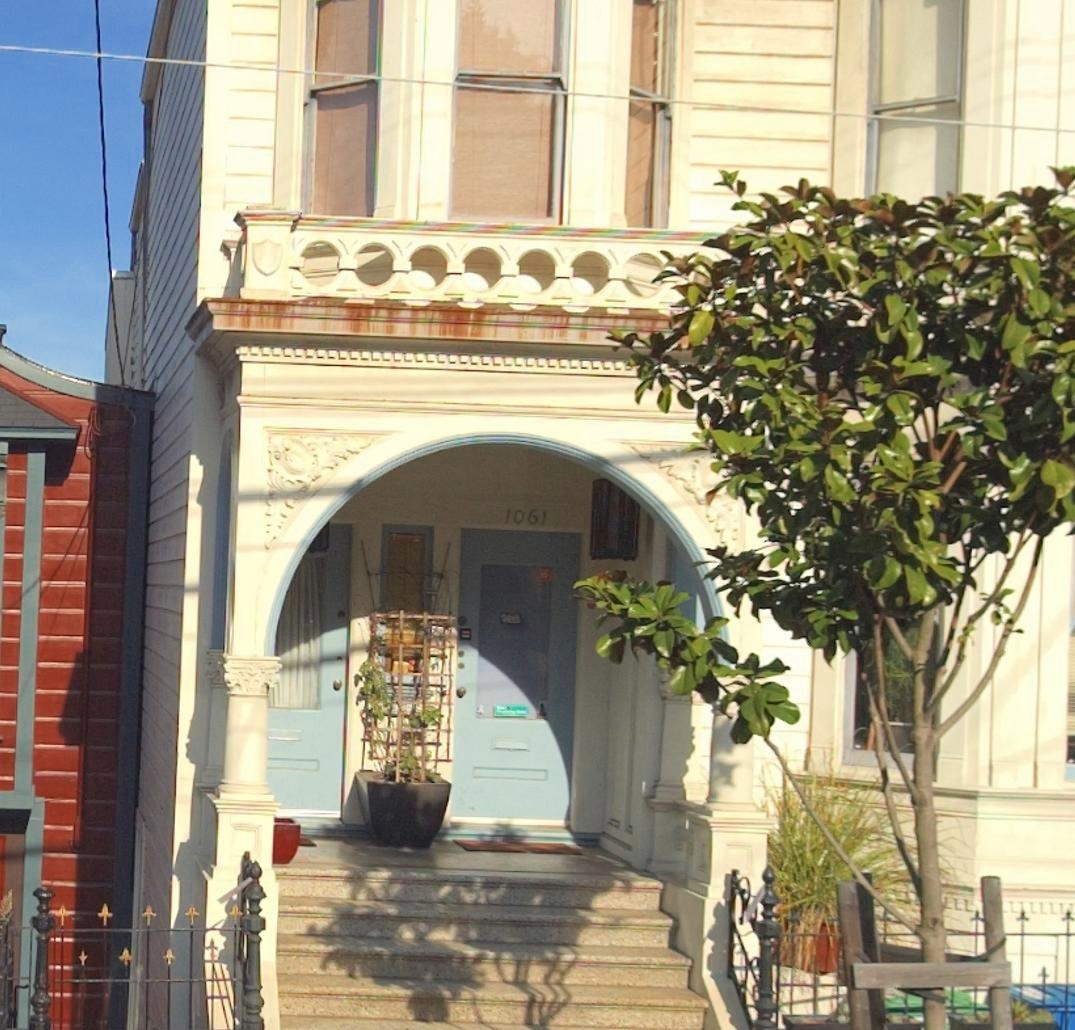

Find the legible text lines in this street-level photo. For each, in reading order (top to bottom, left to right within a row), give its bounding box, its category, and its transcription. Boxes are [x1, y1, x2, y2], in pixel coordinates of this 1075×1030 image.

[504, 507, 549, 524] StreetNumber: 1061